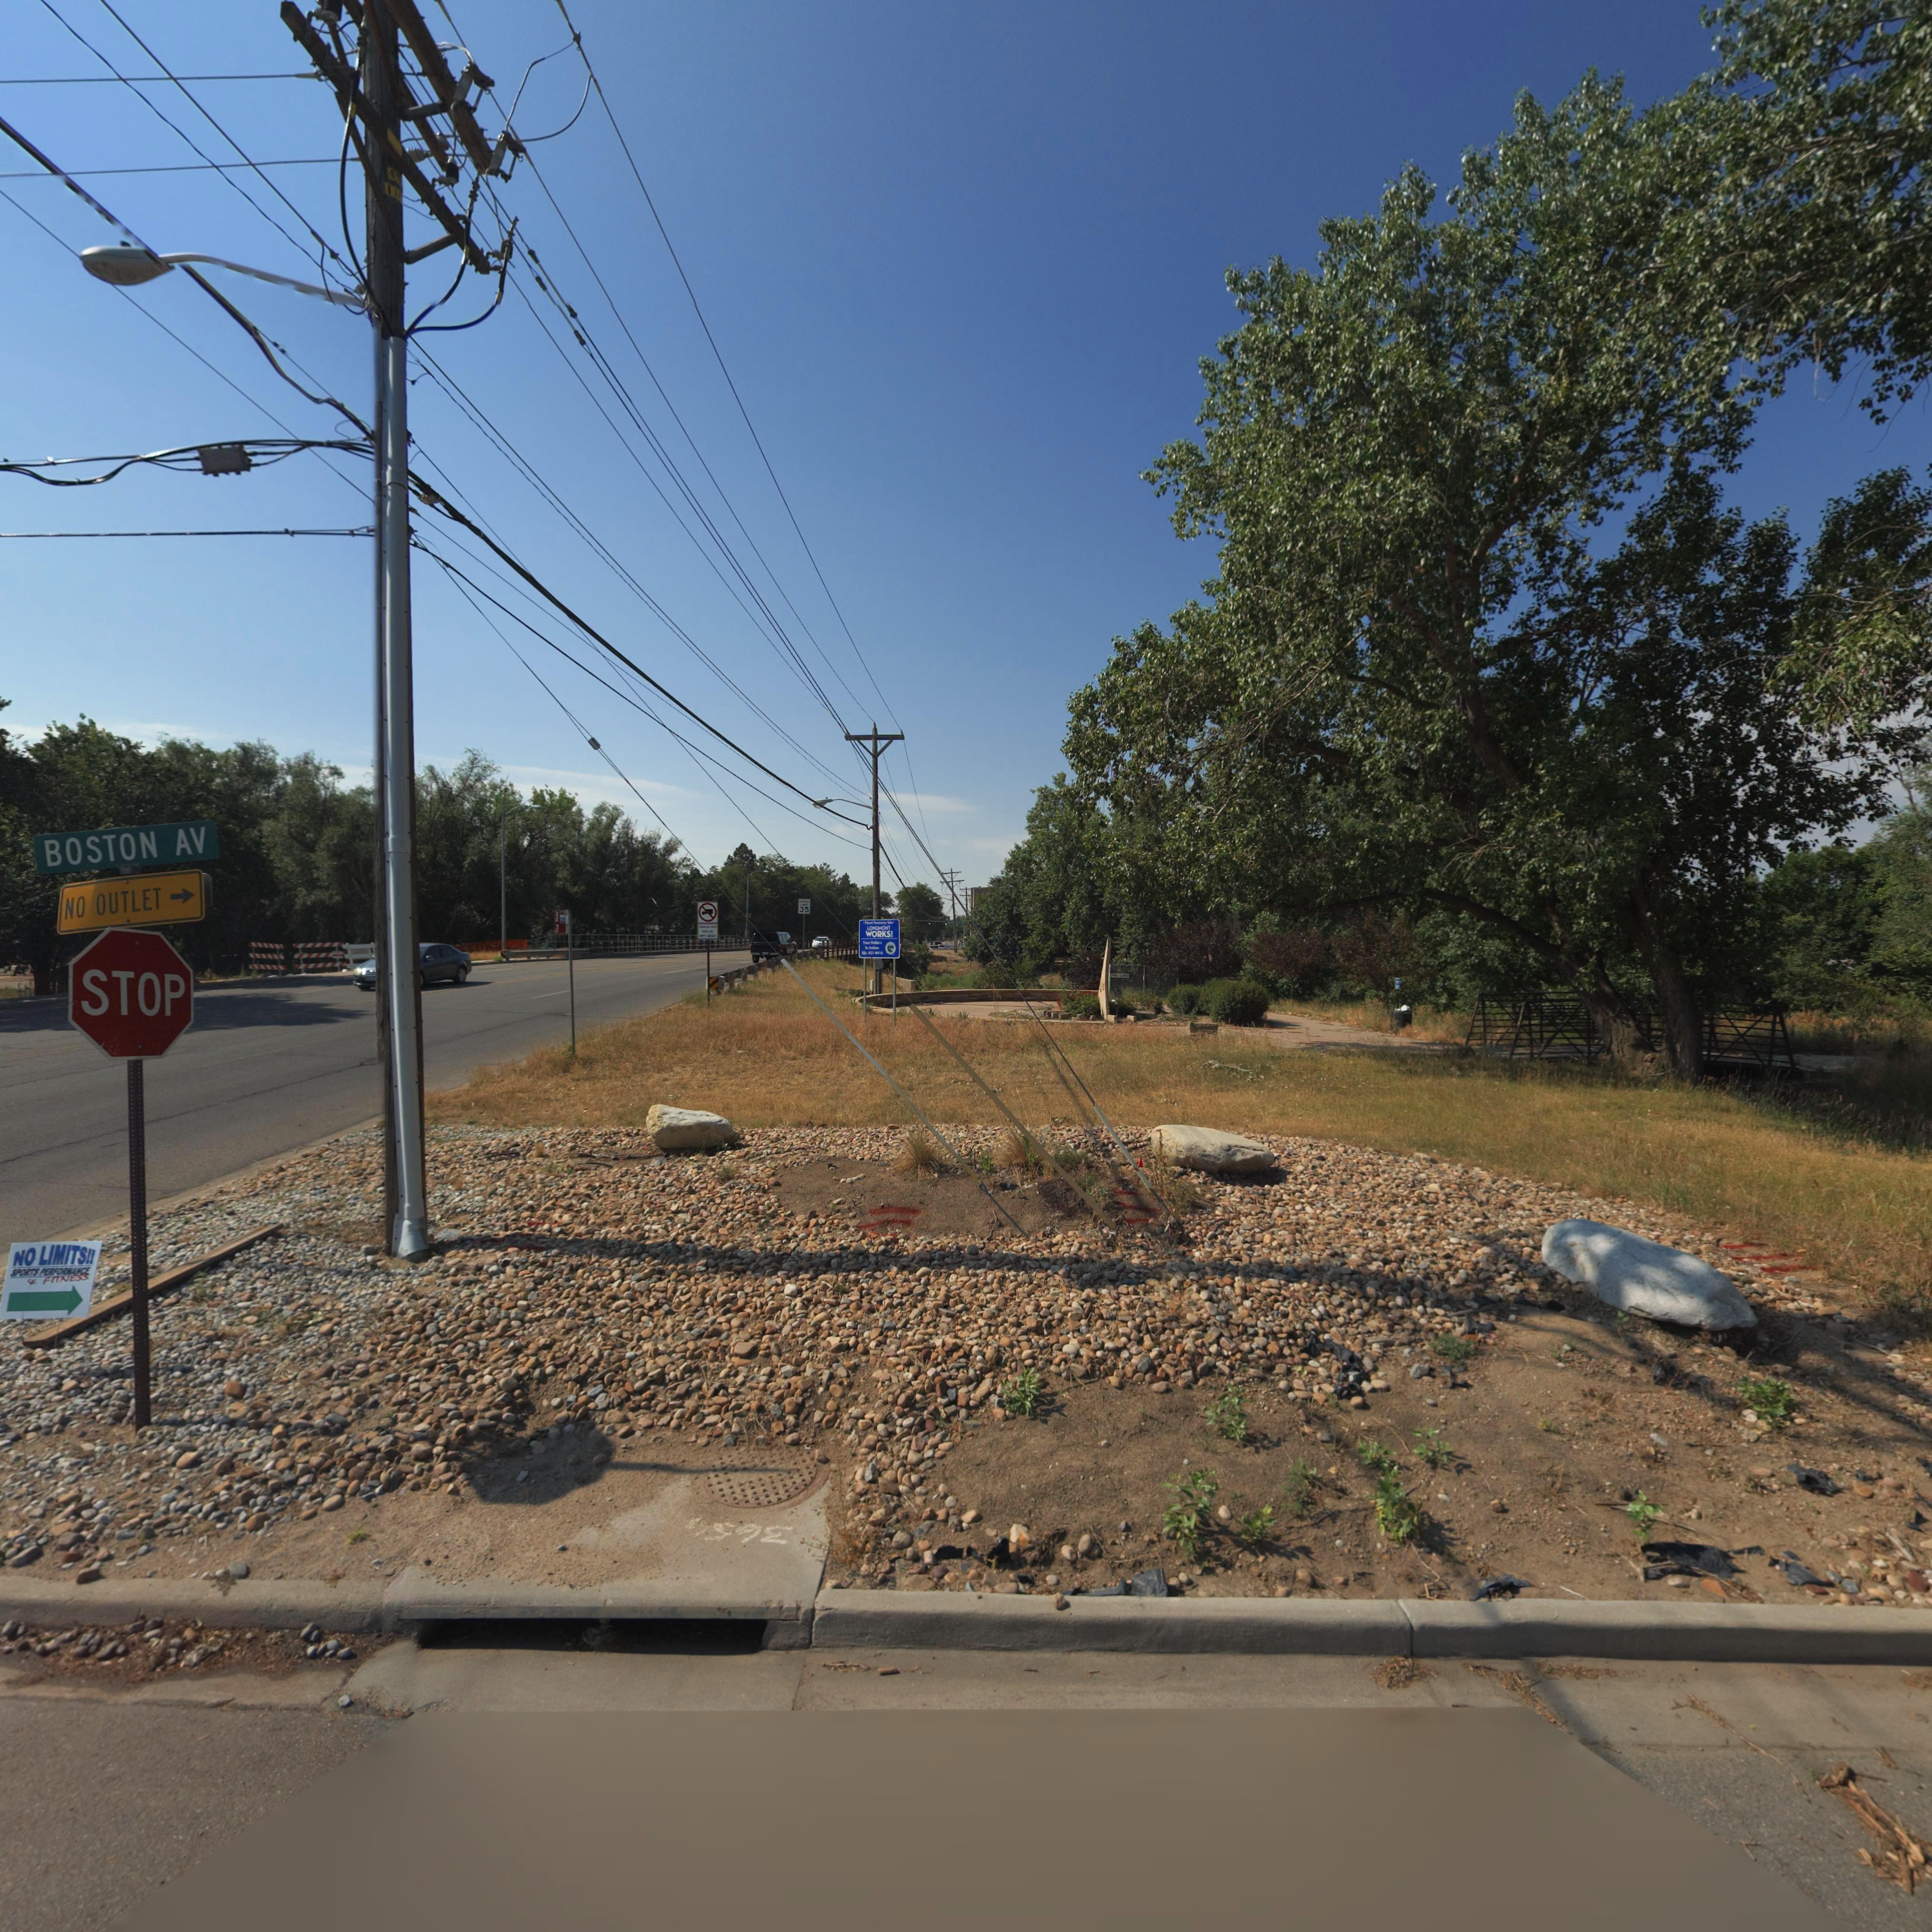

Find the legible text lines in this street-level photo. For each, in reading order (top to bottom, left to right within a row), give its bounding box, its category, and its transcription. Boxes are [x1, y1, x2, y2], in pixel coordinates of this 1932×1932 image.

[41, 825, 207, 869] StreetName: BOSTON AV